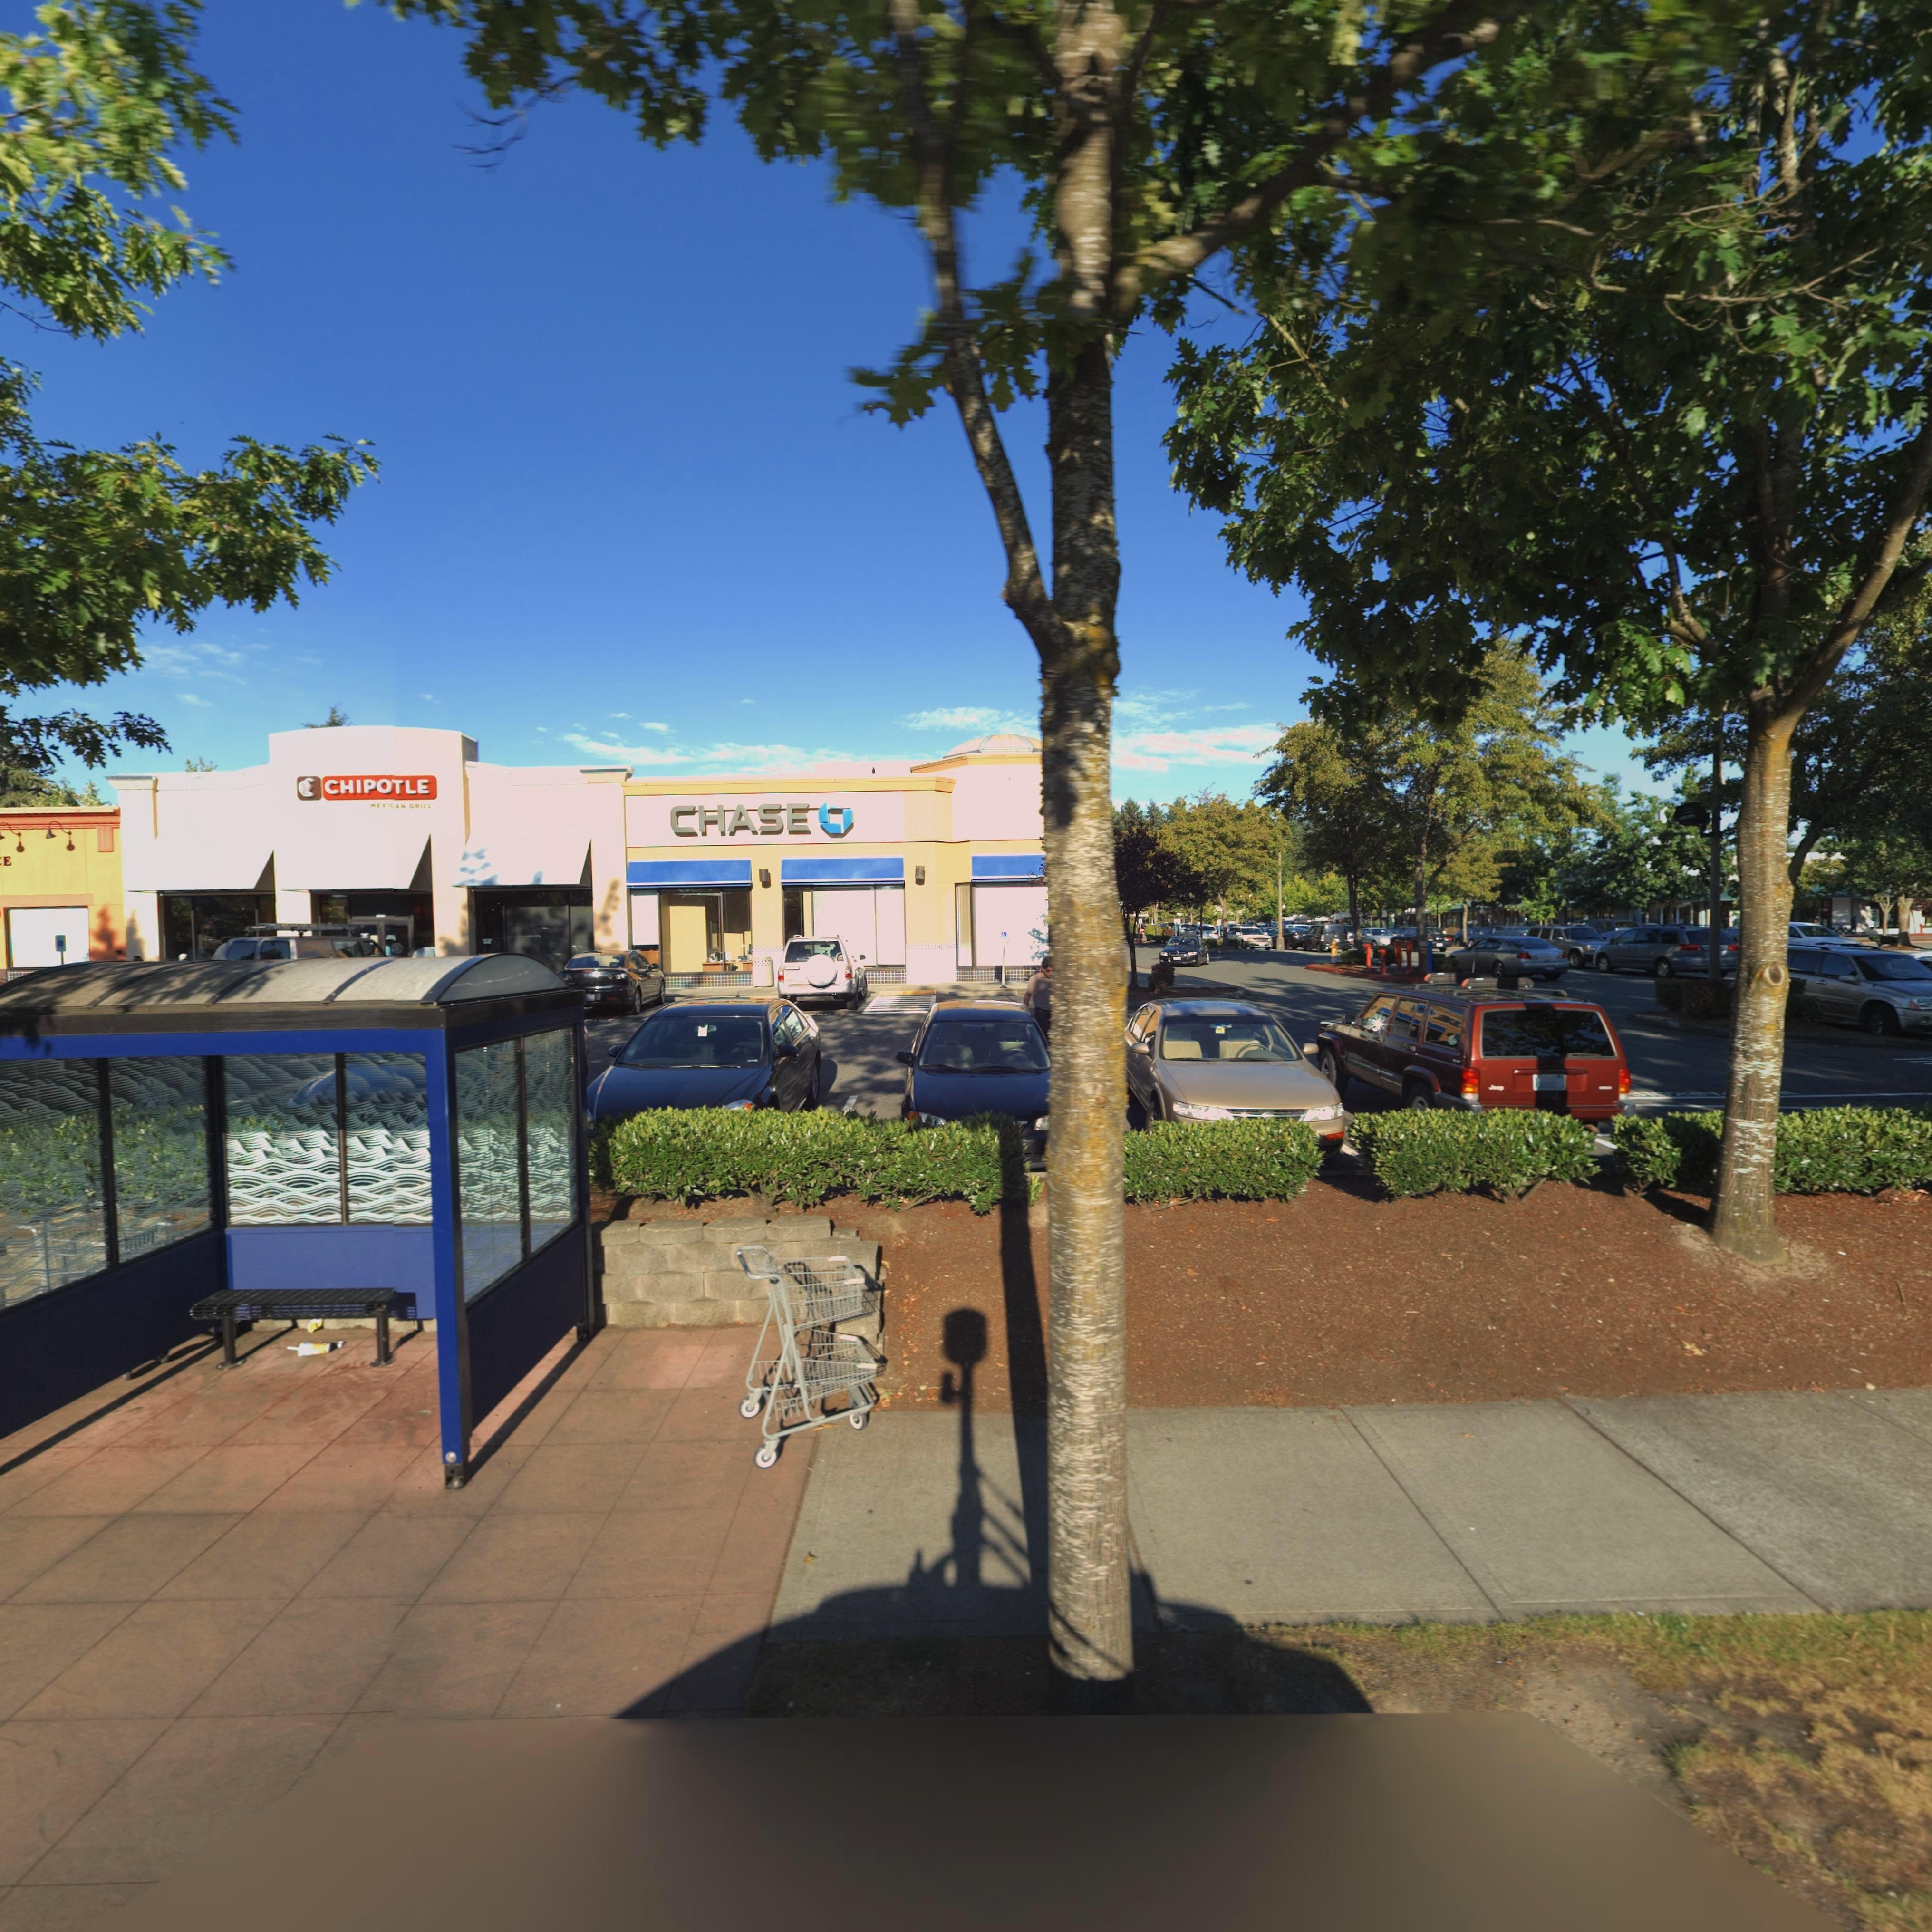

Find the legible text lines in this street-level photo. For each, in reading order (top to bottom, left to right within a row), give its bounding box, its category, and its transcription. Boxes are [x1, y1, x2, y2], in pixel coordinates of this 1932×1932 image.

[325, 779, 428, 793] BusinessName: CHIPOTLE
[369, 803, 432, 809] BusinessName: MEXICAN GRILL
[670, 803, 810, 833] BusinessName: CHASE